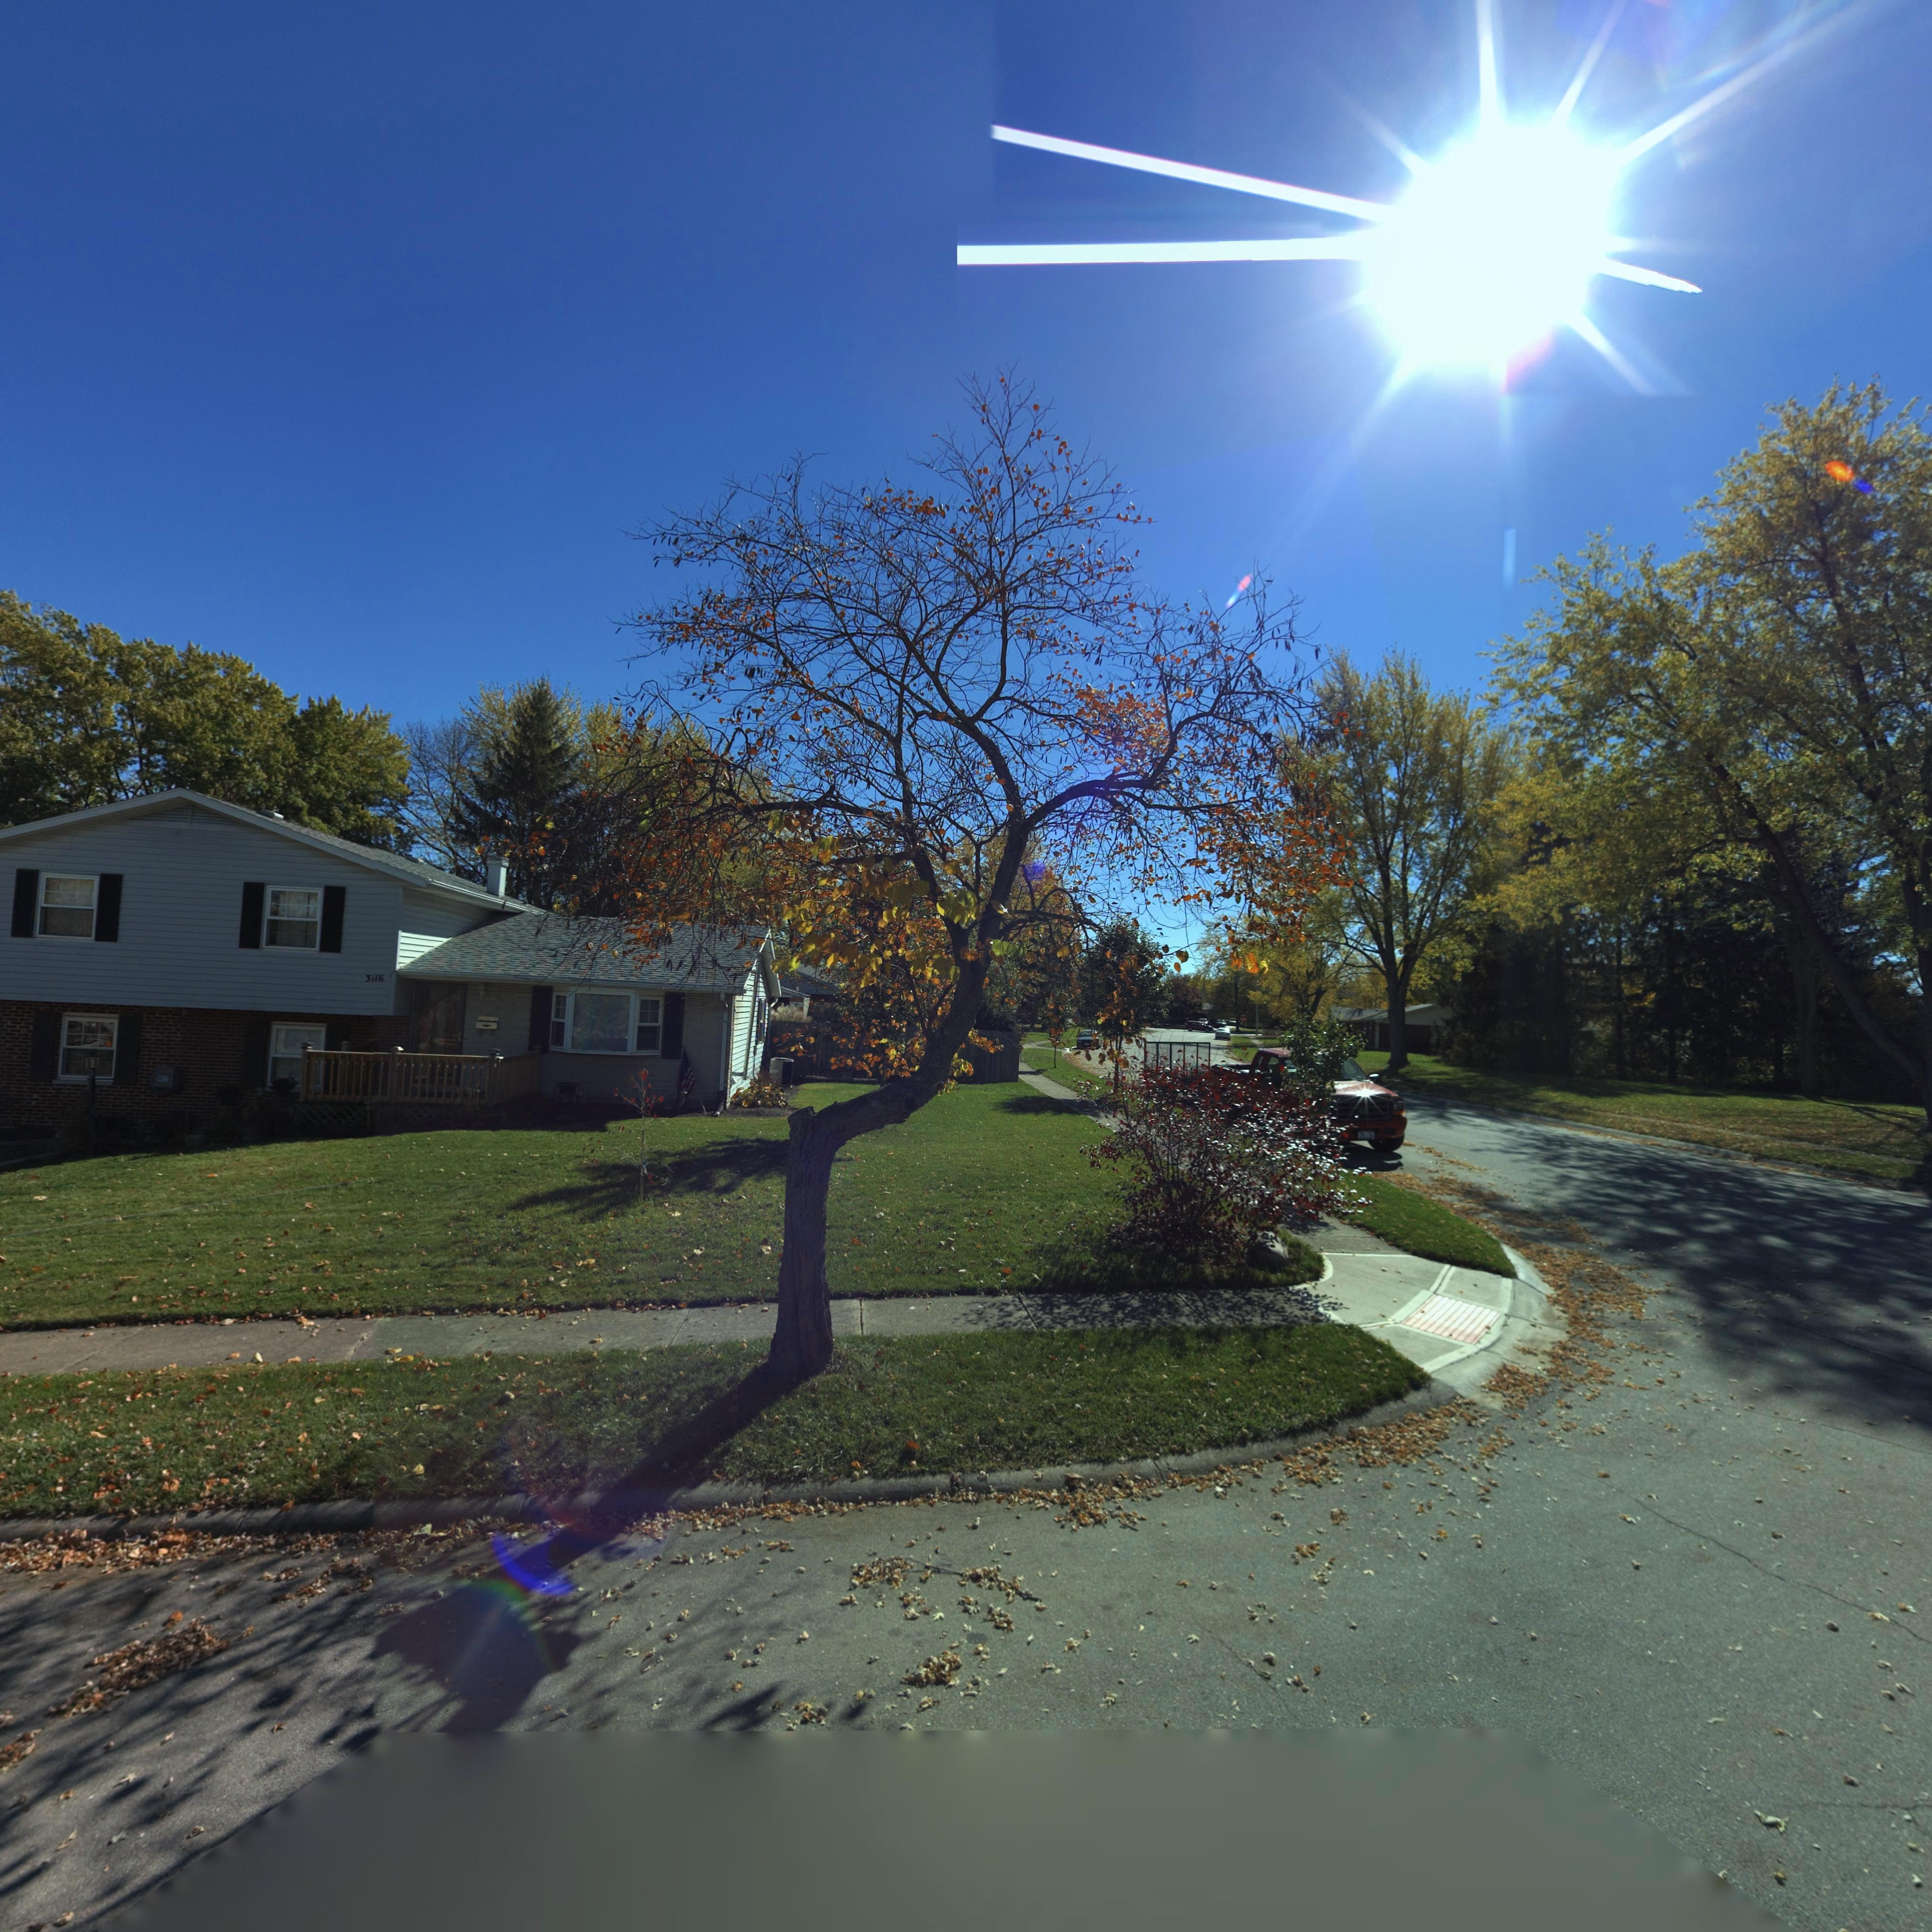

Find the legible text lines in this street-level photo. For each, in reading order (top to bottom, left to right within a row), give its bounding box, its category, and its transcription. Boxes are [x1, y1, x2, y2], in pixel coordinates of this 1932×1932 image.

[364, 973, 386, 984] StreetNumber: 3*16